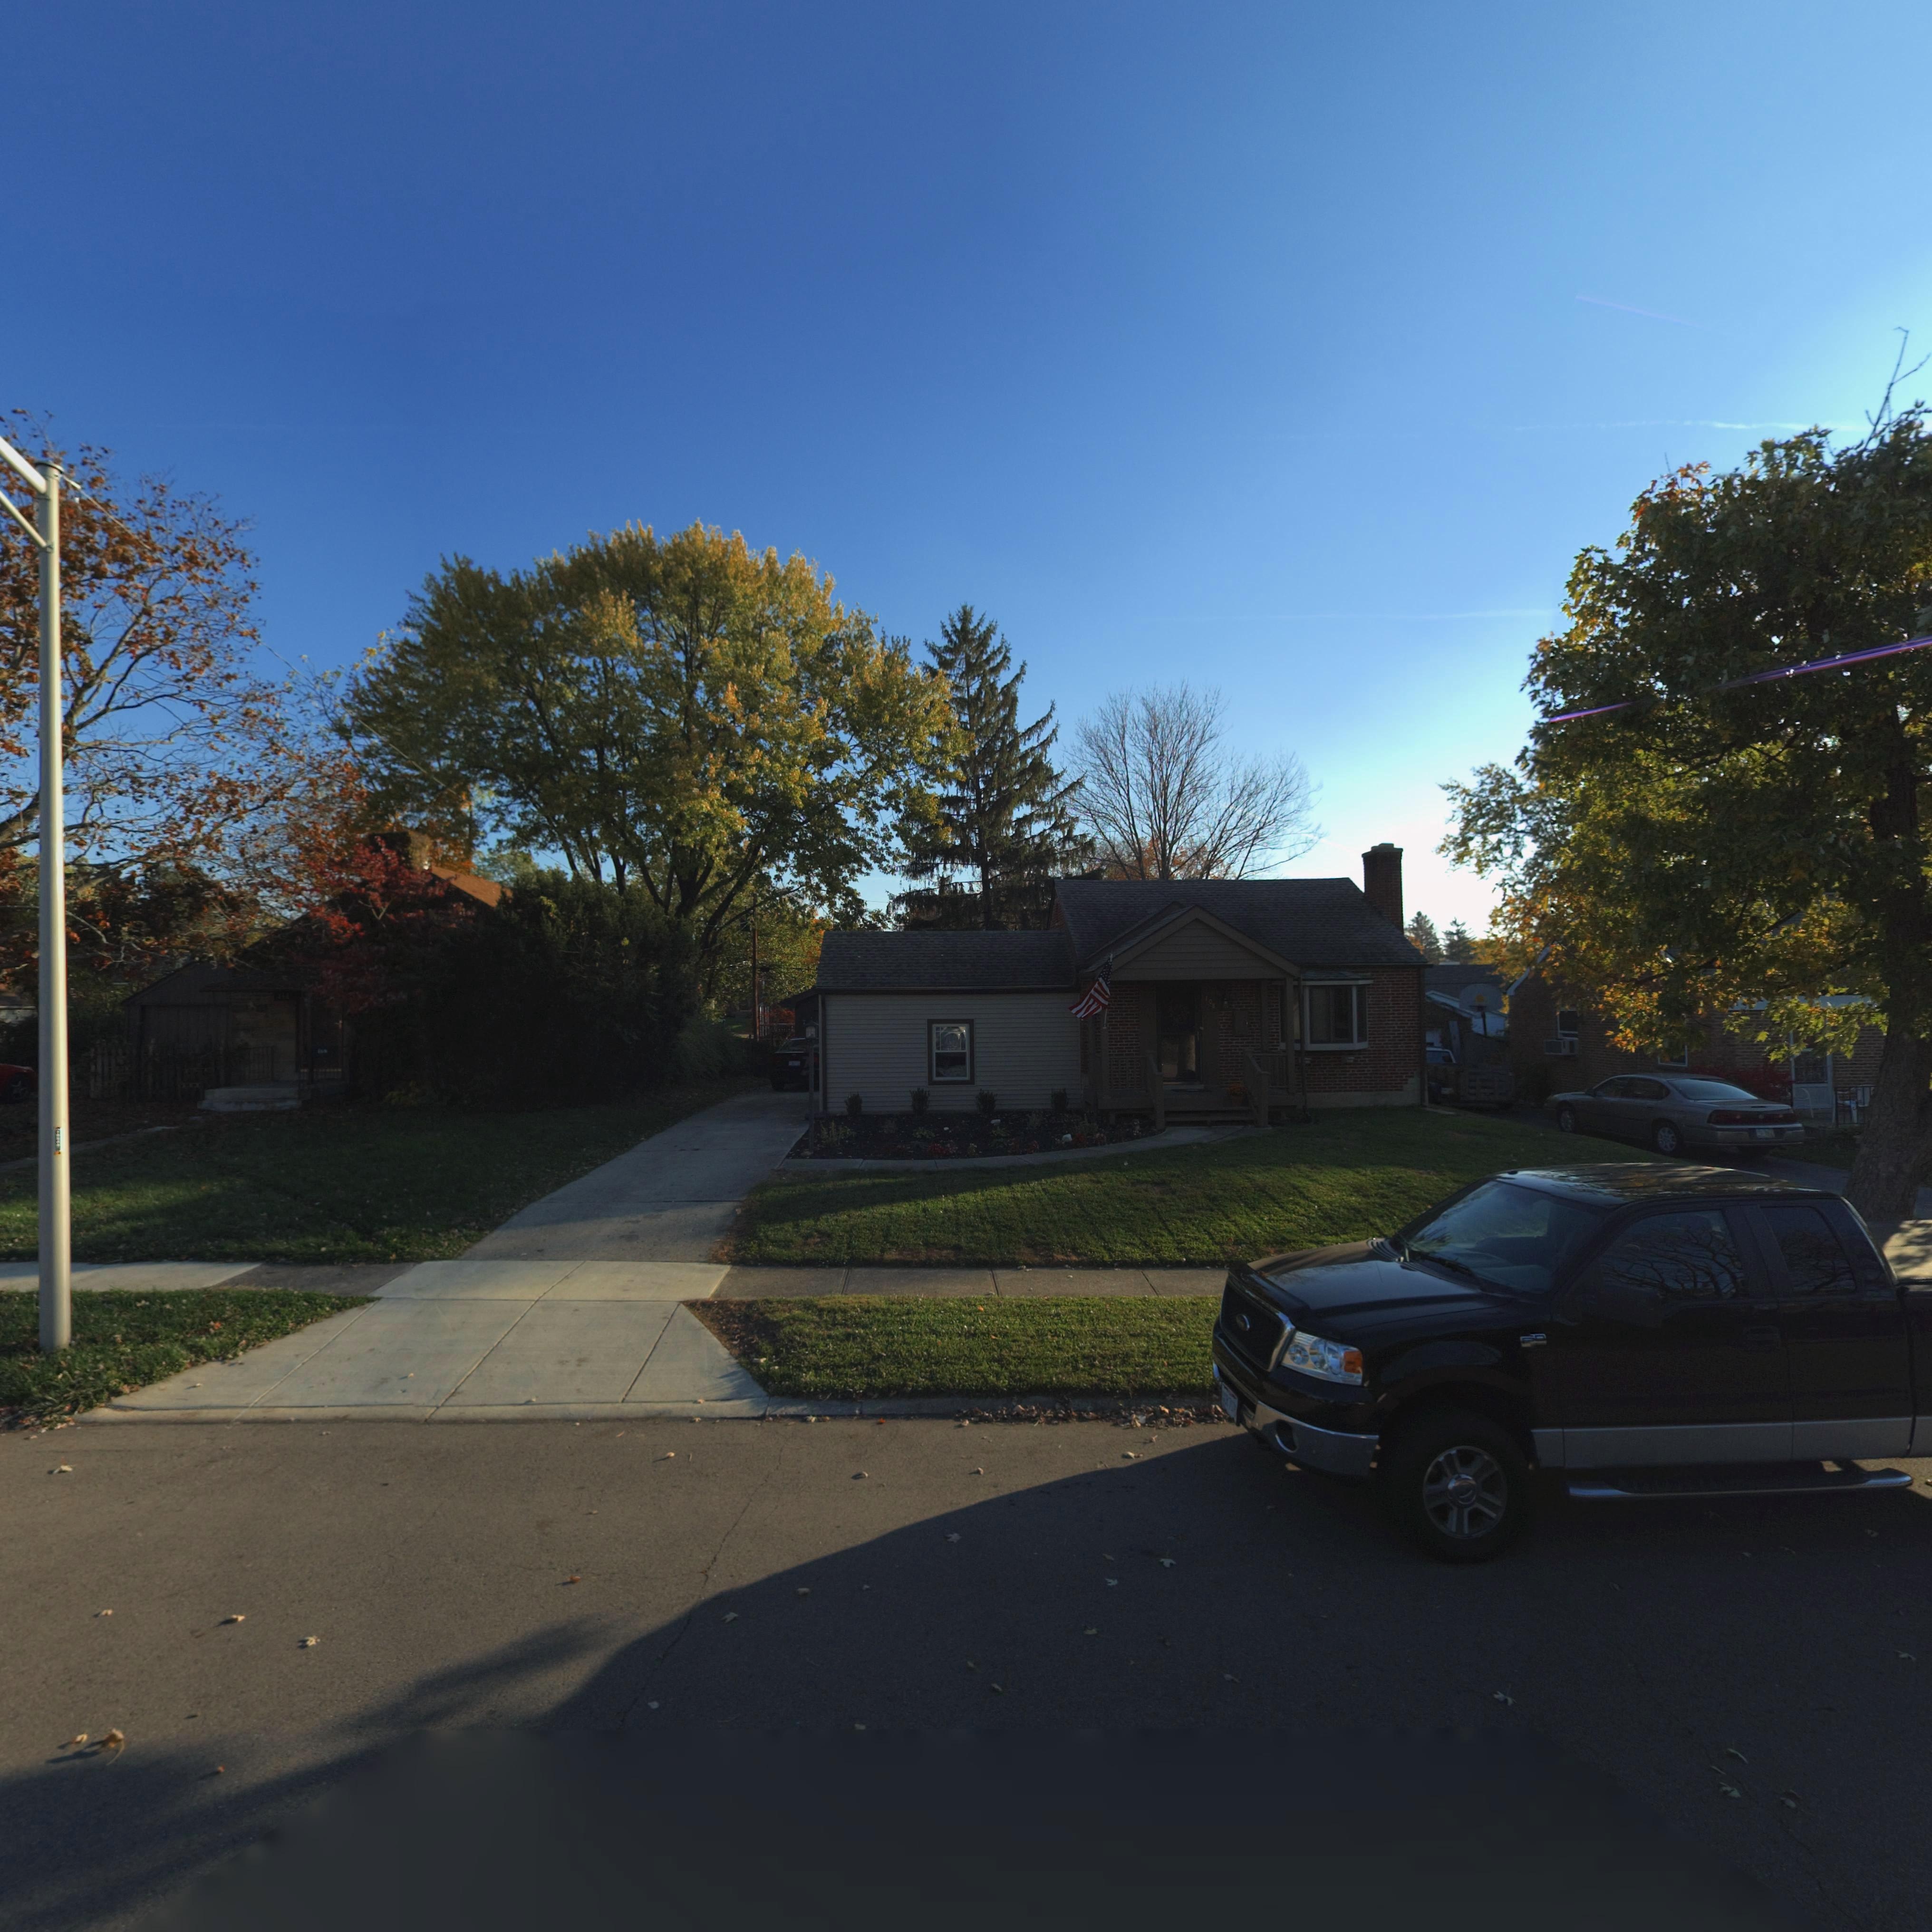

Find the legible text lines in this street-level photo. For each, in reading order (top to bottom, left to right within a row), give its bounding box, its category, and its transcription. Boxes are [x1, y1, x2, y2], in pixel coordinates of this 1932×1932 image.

[1205, 995, 1216, 1009] StreetNumber: 108
[317, 1048, 328, 1054] StreetNumber: 1**